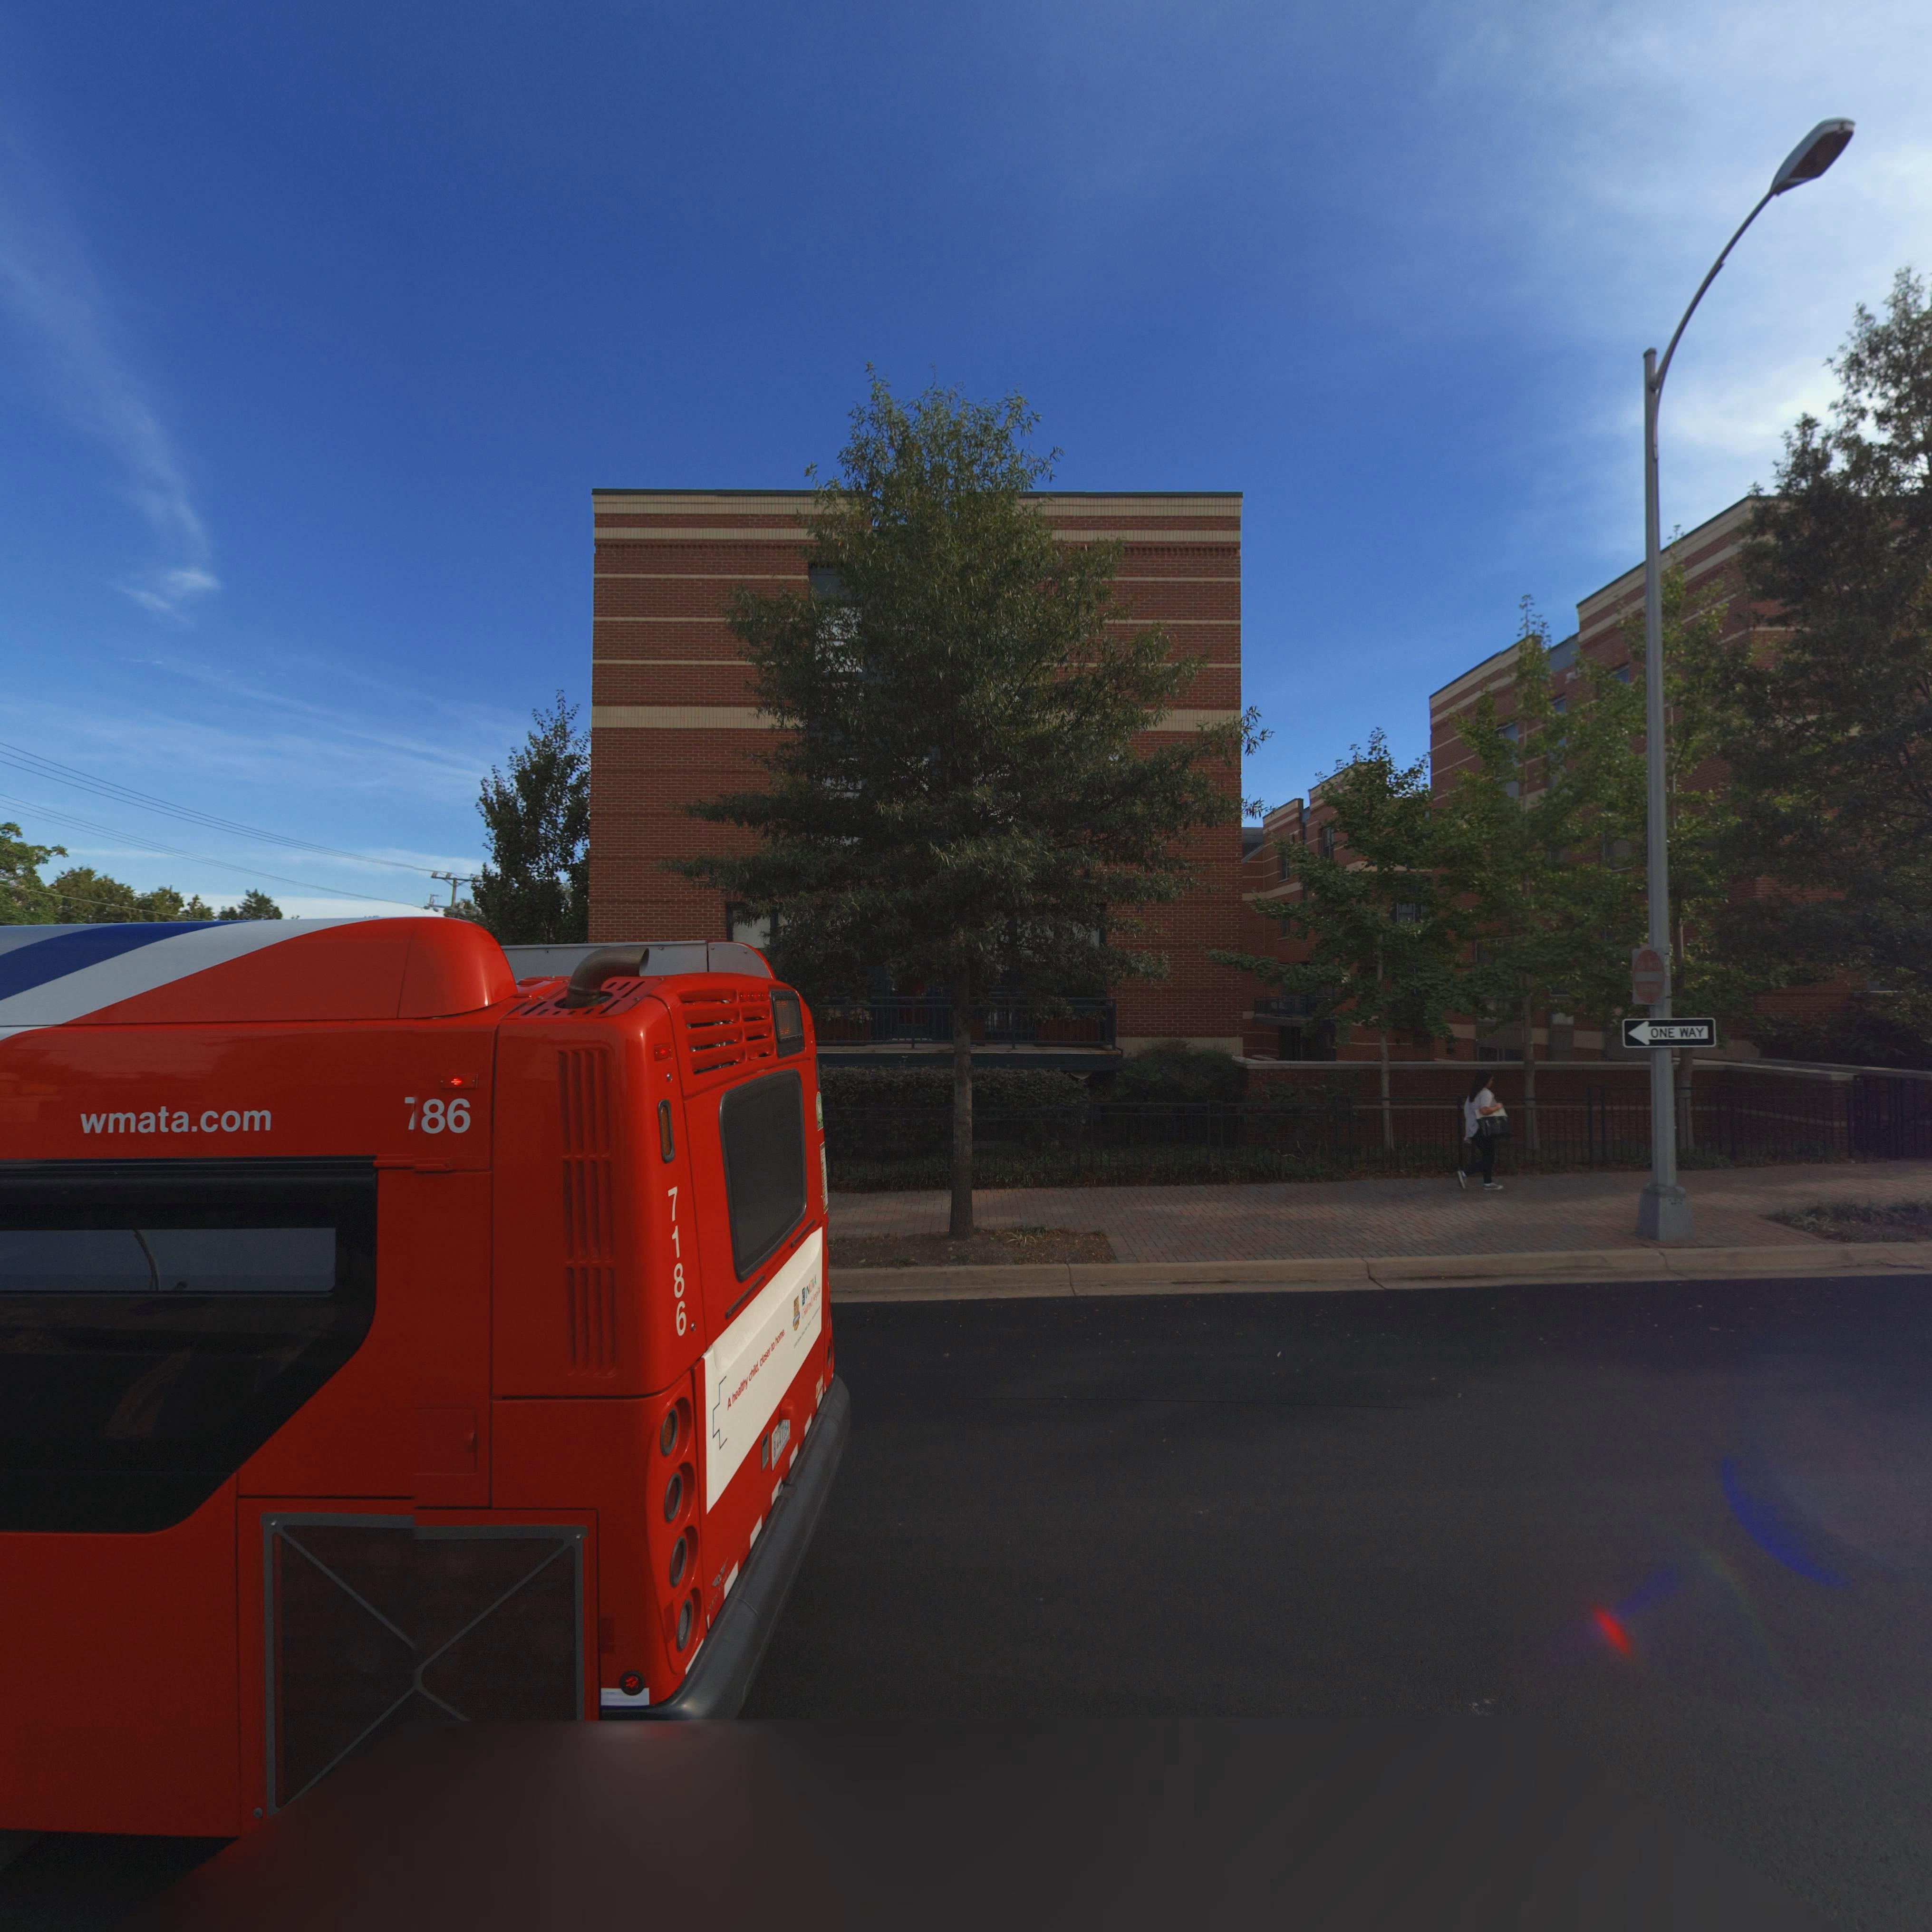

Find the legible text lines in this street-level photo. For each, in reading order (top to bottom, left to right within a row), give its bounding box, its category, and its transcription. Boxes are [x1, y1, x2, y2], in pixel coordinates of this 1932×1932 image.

[1649, 1026, 1705, 1040] None: ONE WAY
[77, 1103, 274, 1137] None: wmata.com
[418, 1095, 473, 1137] None: 86
[665, 1183, 689, 1339] None: 7186